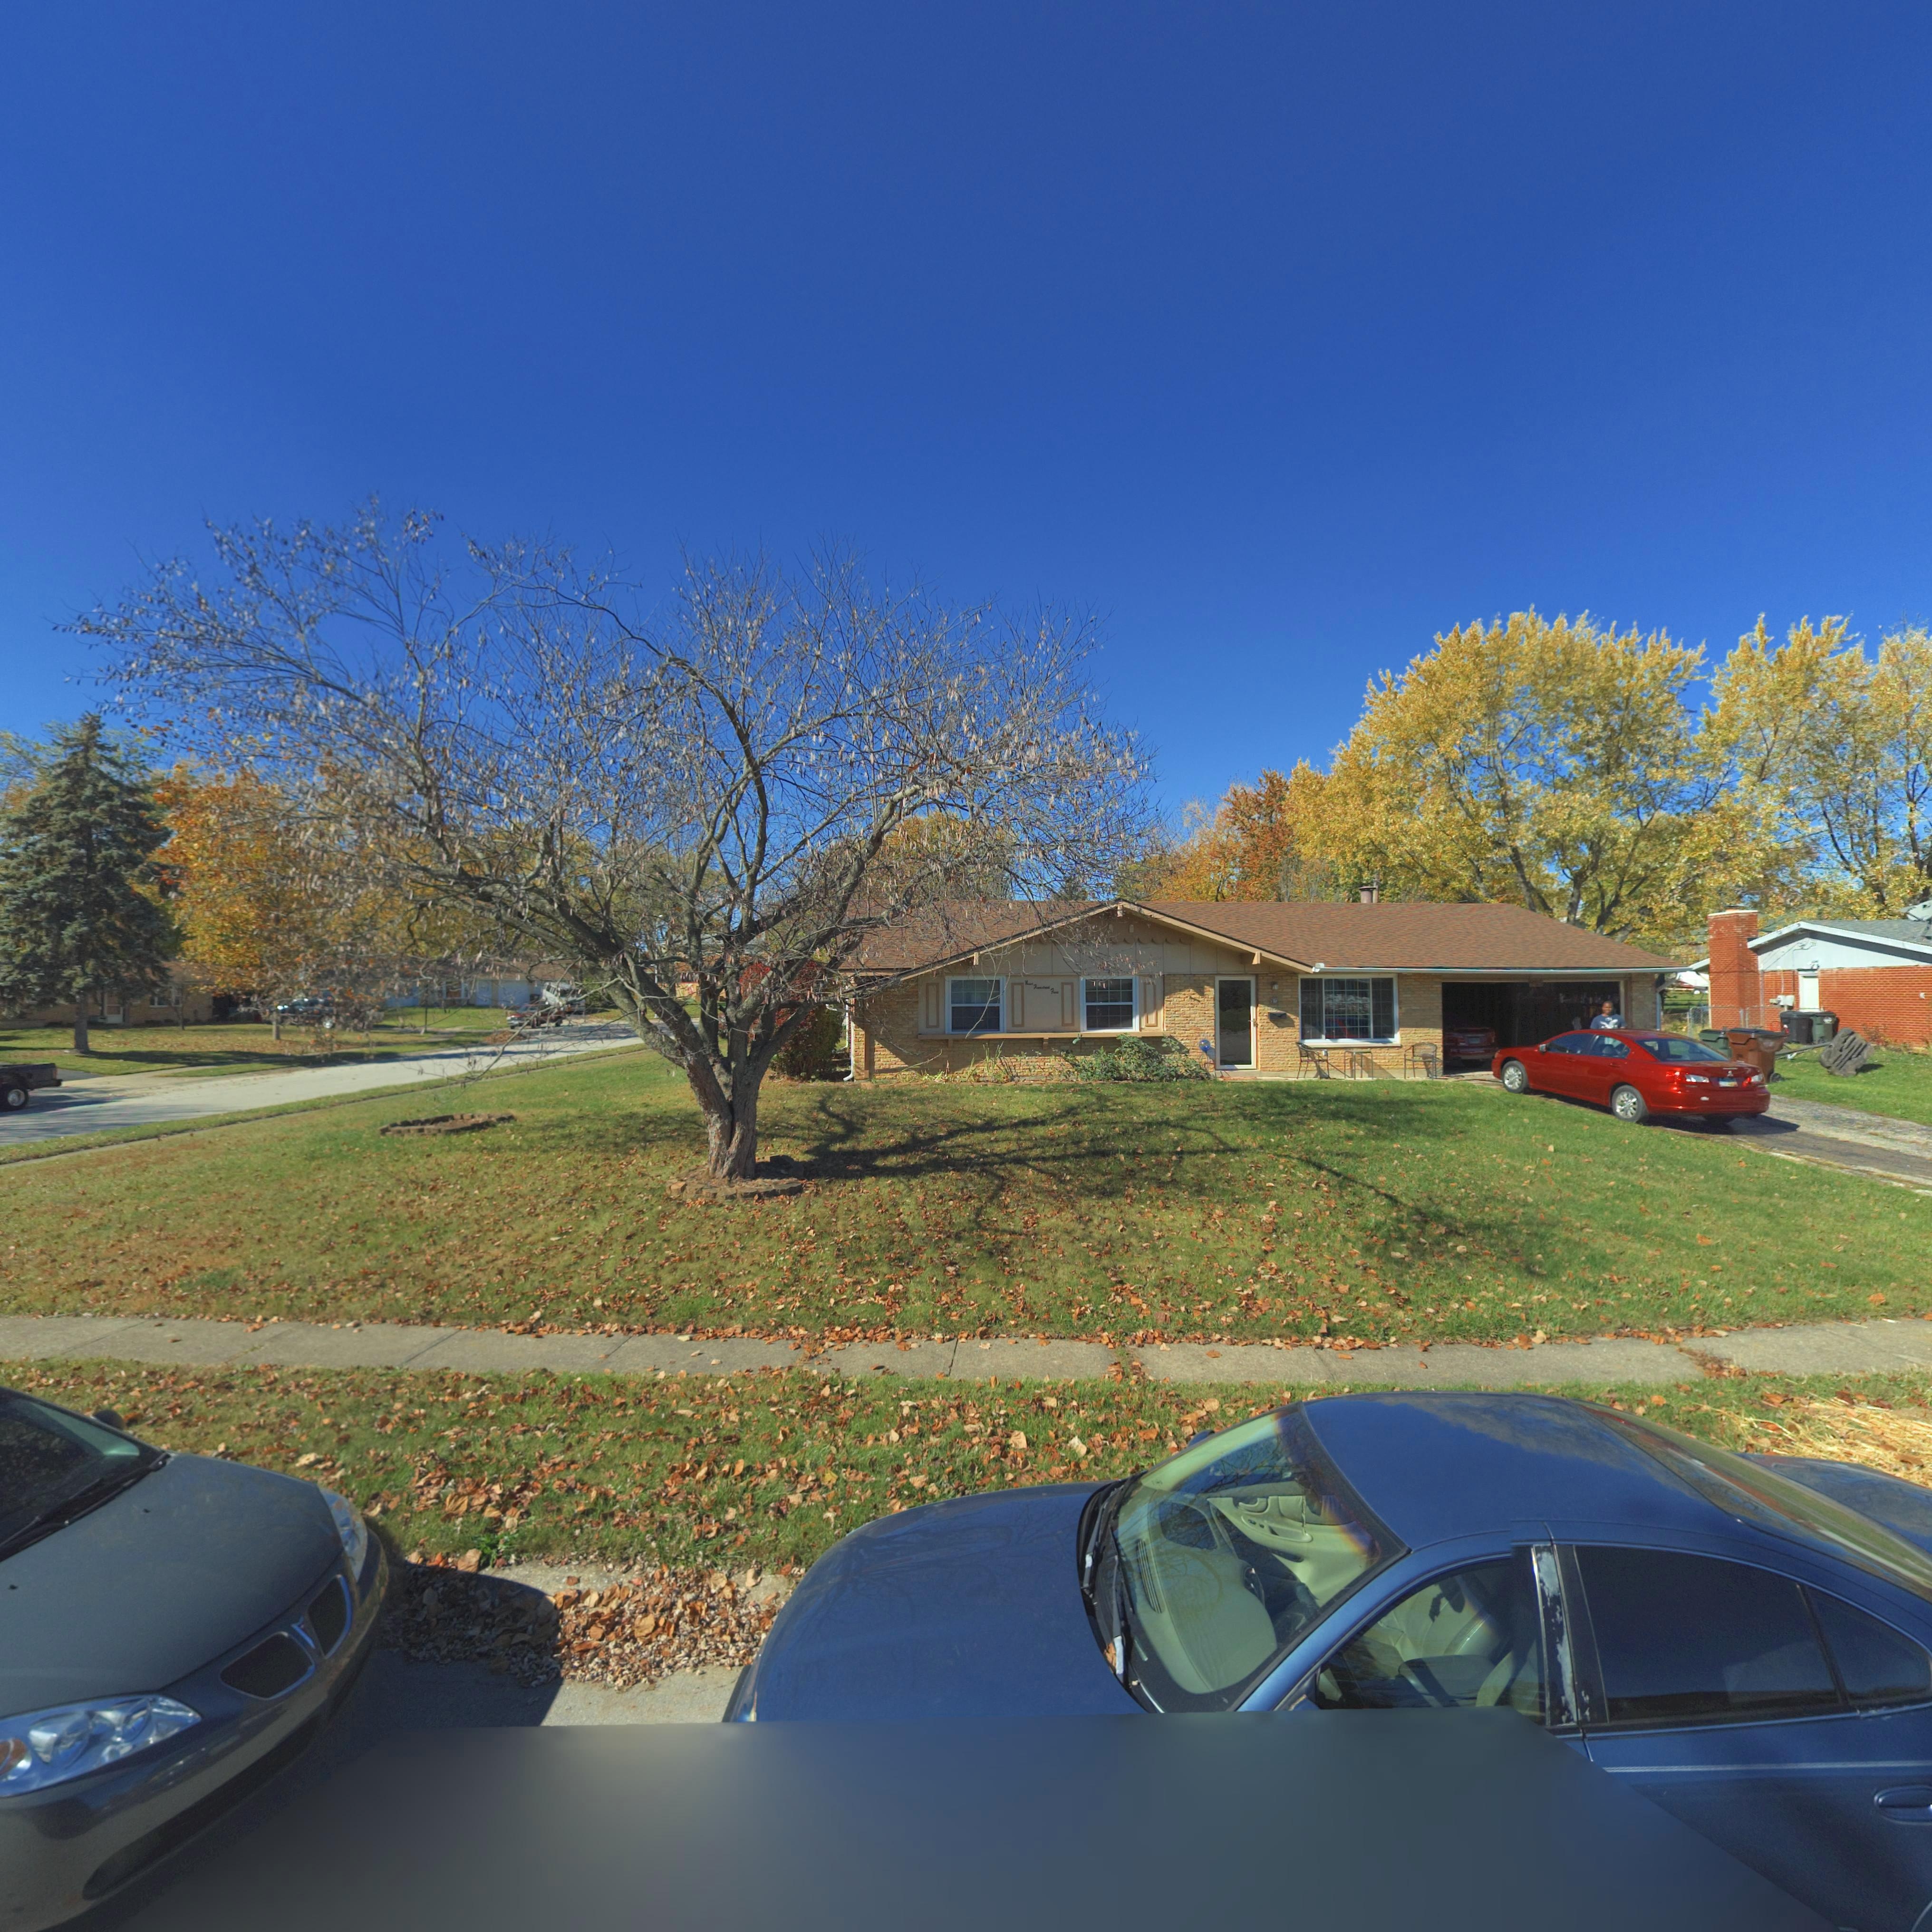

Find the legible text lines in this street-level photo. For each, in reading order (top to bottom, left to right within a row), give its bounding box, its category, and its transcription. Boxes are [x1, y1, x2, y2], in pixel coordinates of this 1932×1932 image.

[1528, 979, 1542, 986] StreetNumber: 905
[1033, 983, 1038, 990] StreetNumber: H
[1050, 987, 1059, 995] StreetNumber: Fi*e